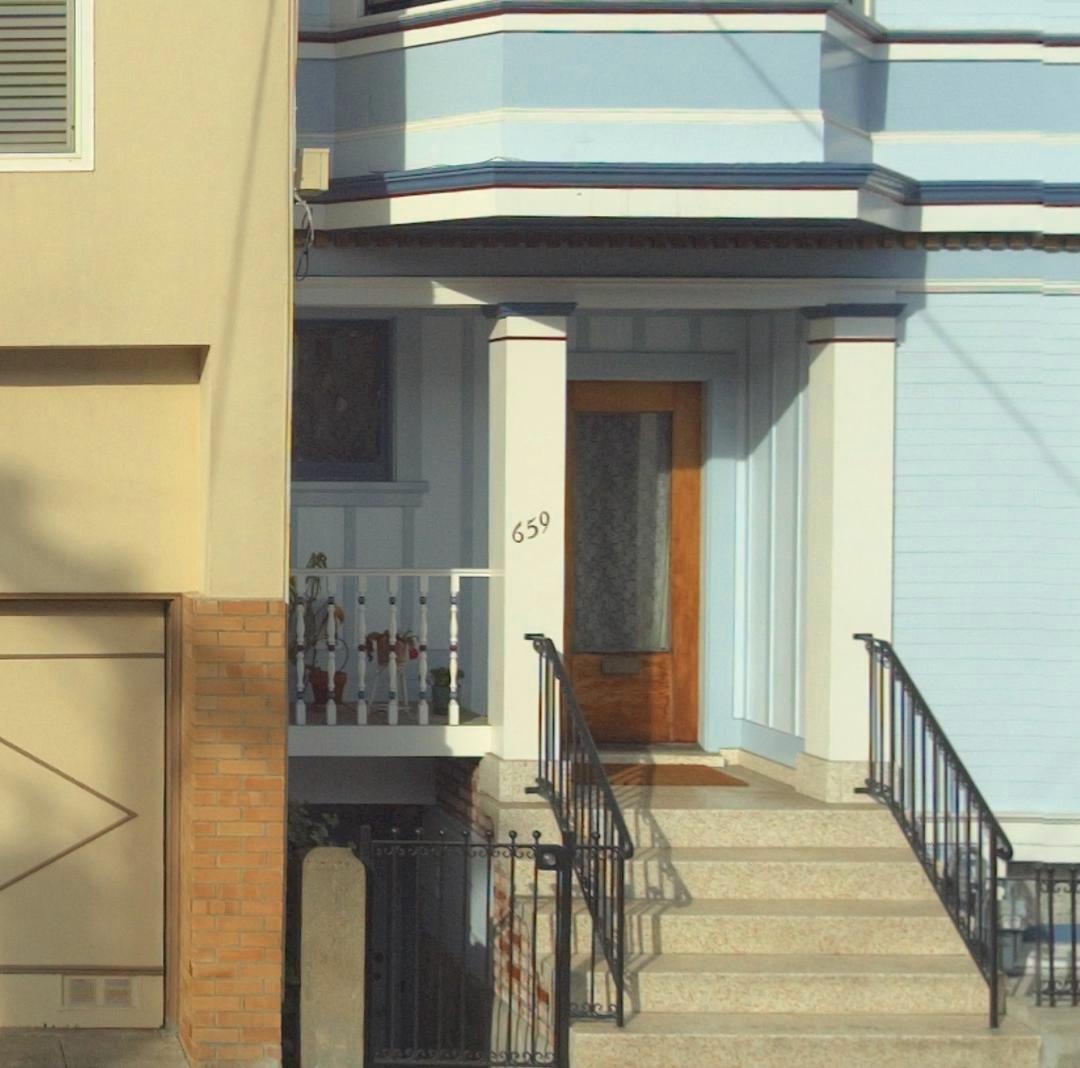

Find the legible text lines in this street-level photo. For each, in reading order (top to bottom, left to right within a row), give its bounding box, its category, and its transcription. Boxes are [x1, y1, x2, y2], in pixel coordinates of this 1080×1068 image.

[510, 508, 552, 553] StreetNumber: 659